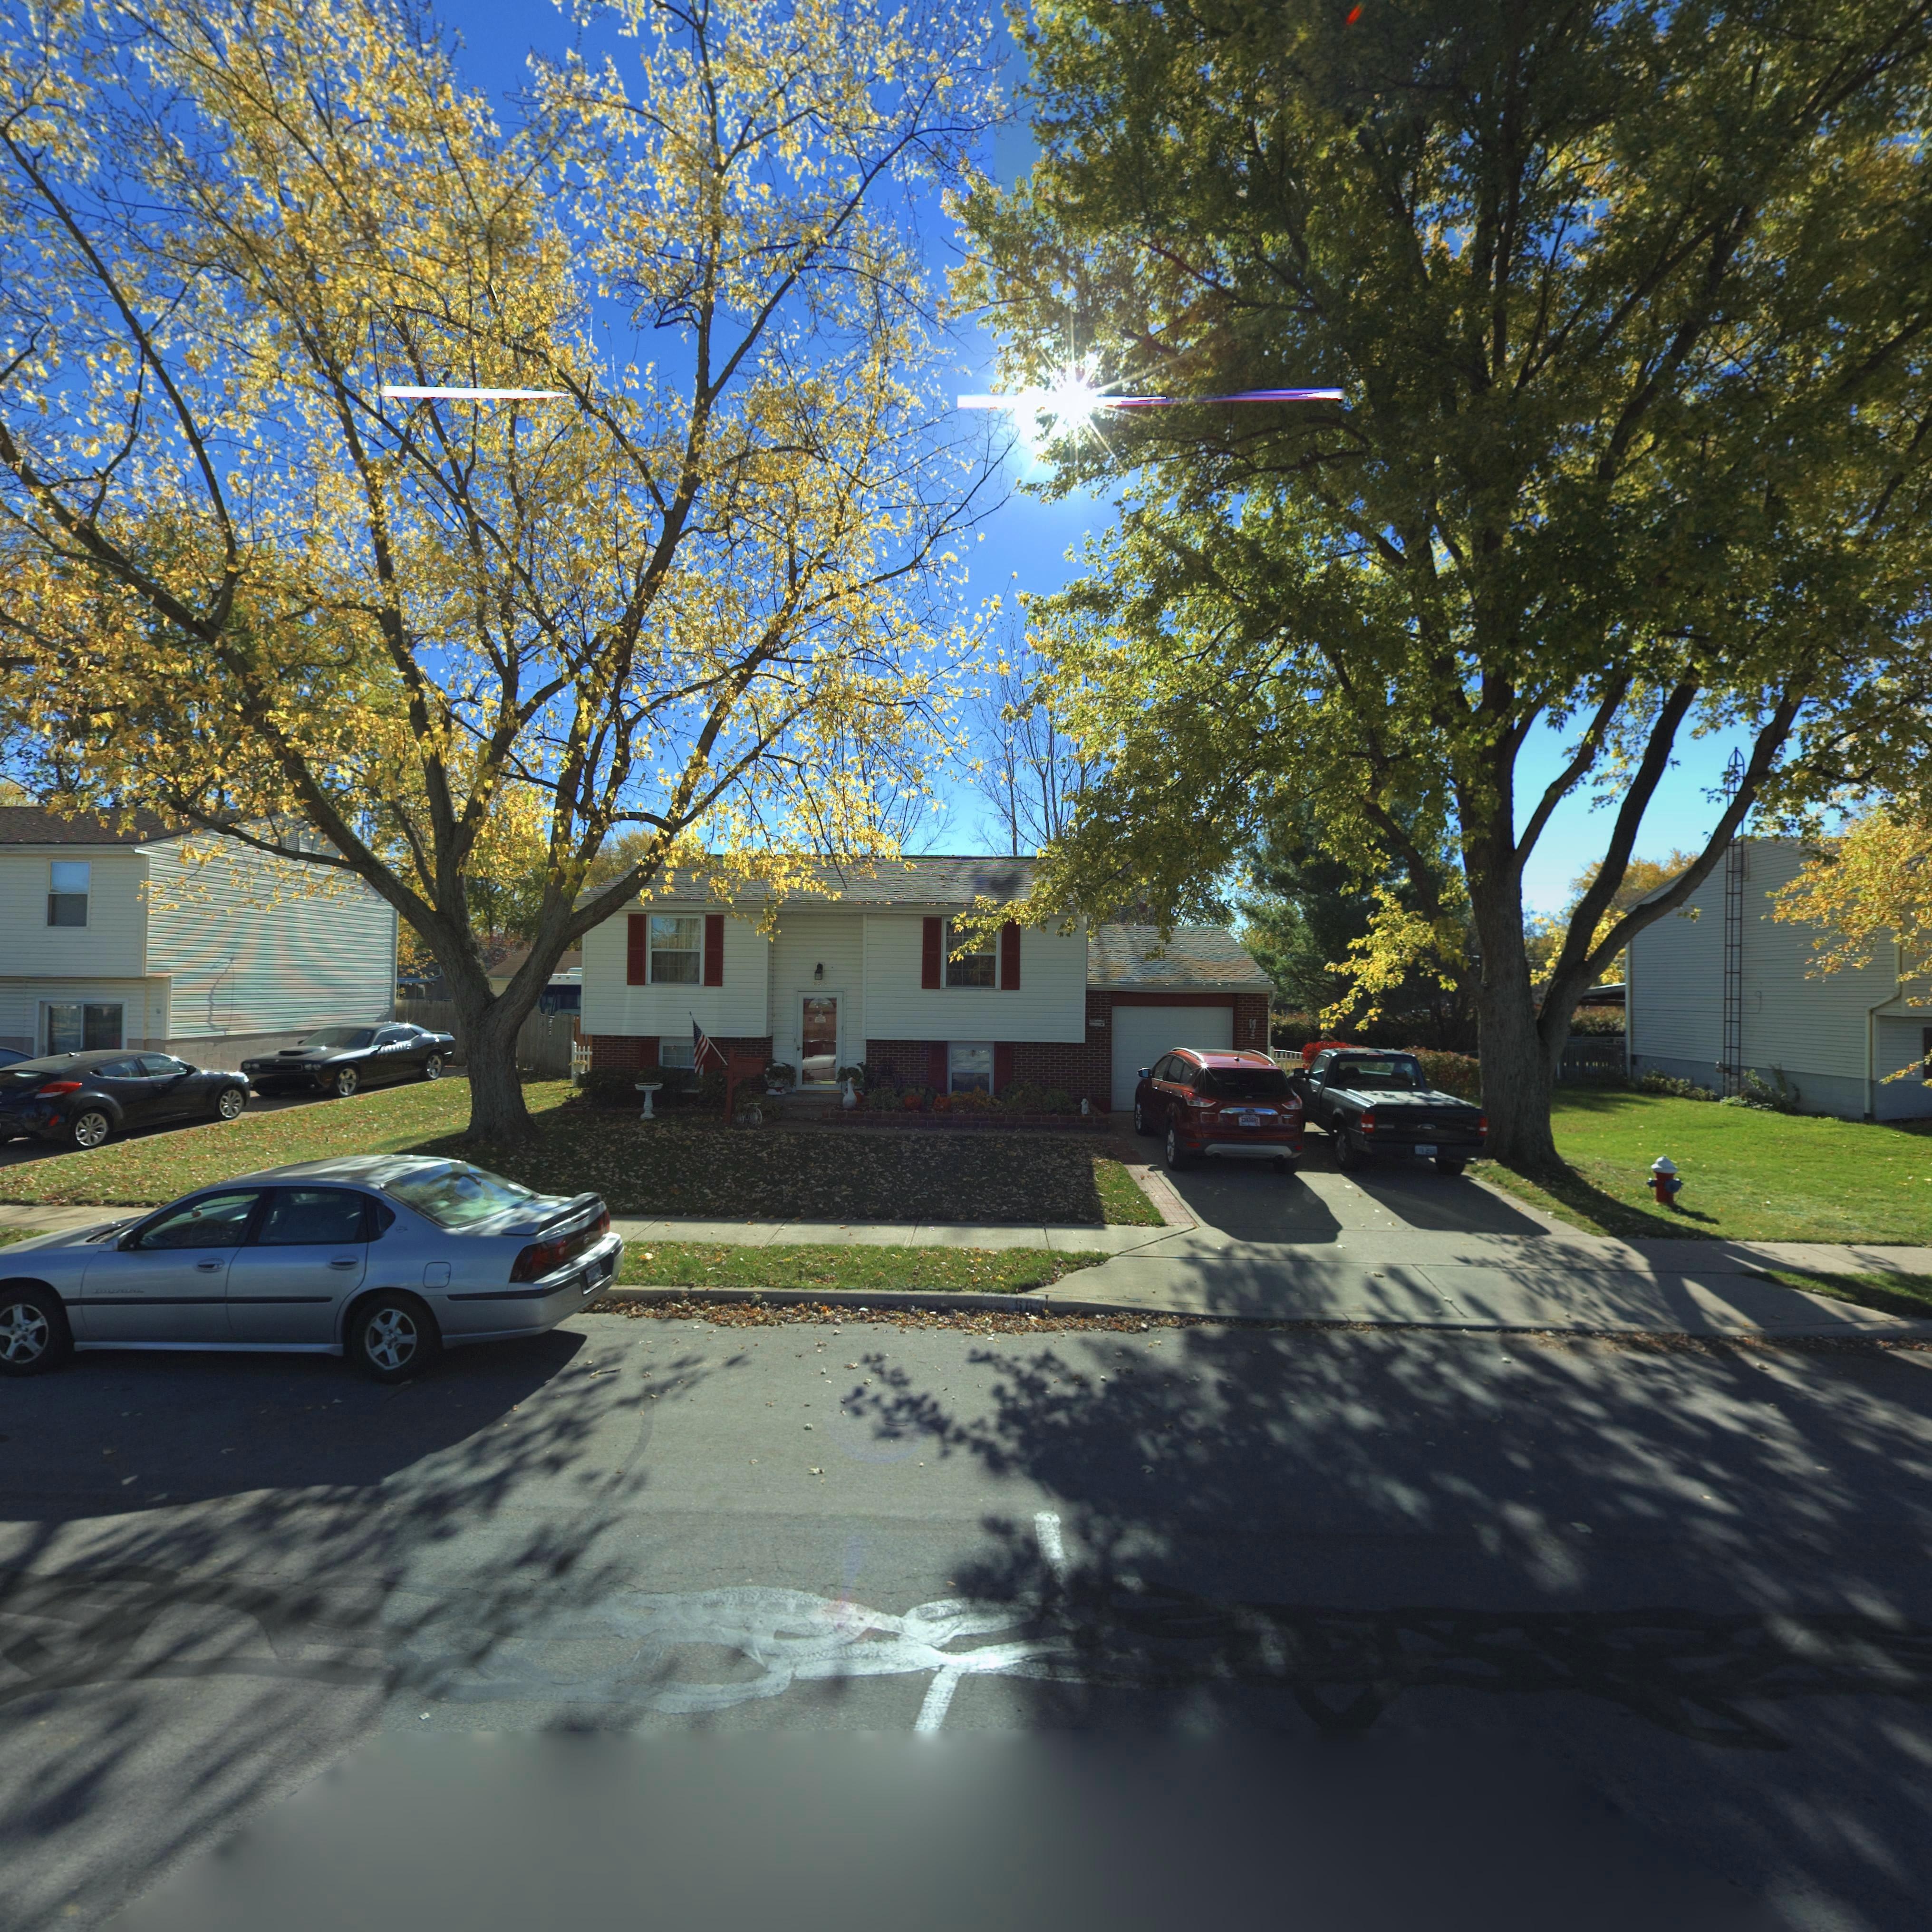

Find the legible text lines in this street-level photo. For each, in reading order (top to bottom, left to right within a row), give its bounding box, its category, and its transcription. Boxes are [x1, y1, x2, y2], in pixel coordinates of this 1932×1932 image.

[812, 980, 828, 987] StreetNumber: **3
[1014, 1298, 1047, 1313] StreetNumber: 66*